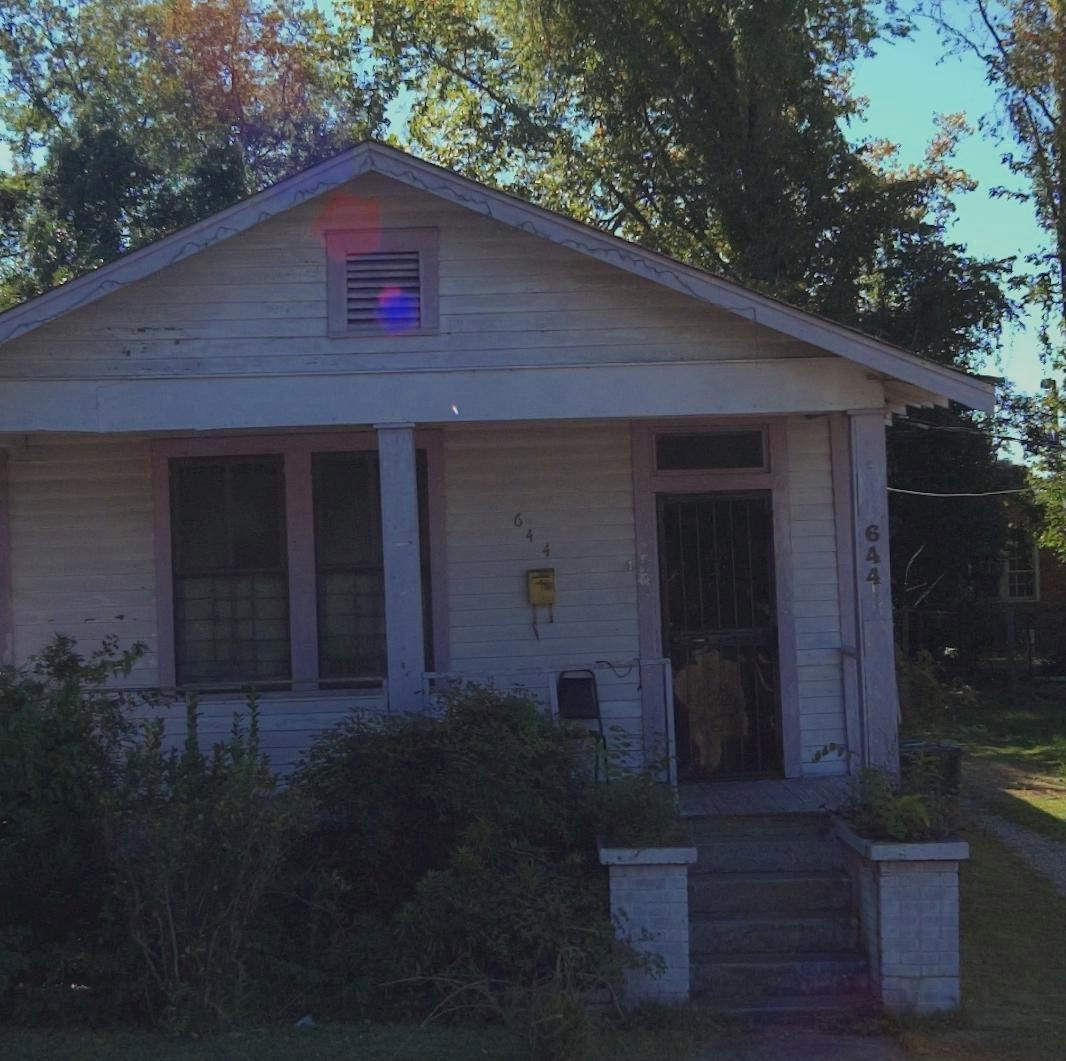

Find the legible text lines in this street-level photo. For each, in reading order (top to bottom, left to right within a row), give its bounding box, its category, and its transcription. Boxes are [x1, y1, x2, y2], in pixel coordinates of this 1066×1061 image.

[508, 504, 554, 568] StreetNumber: 644
[862, 520, 885, 593] StreetNumber: 644